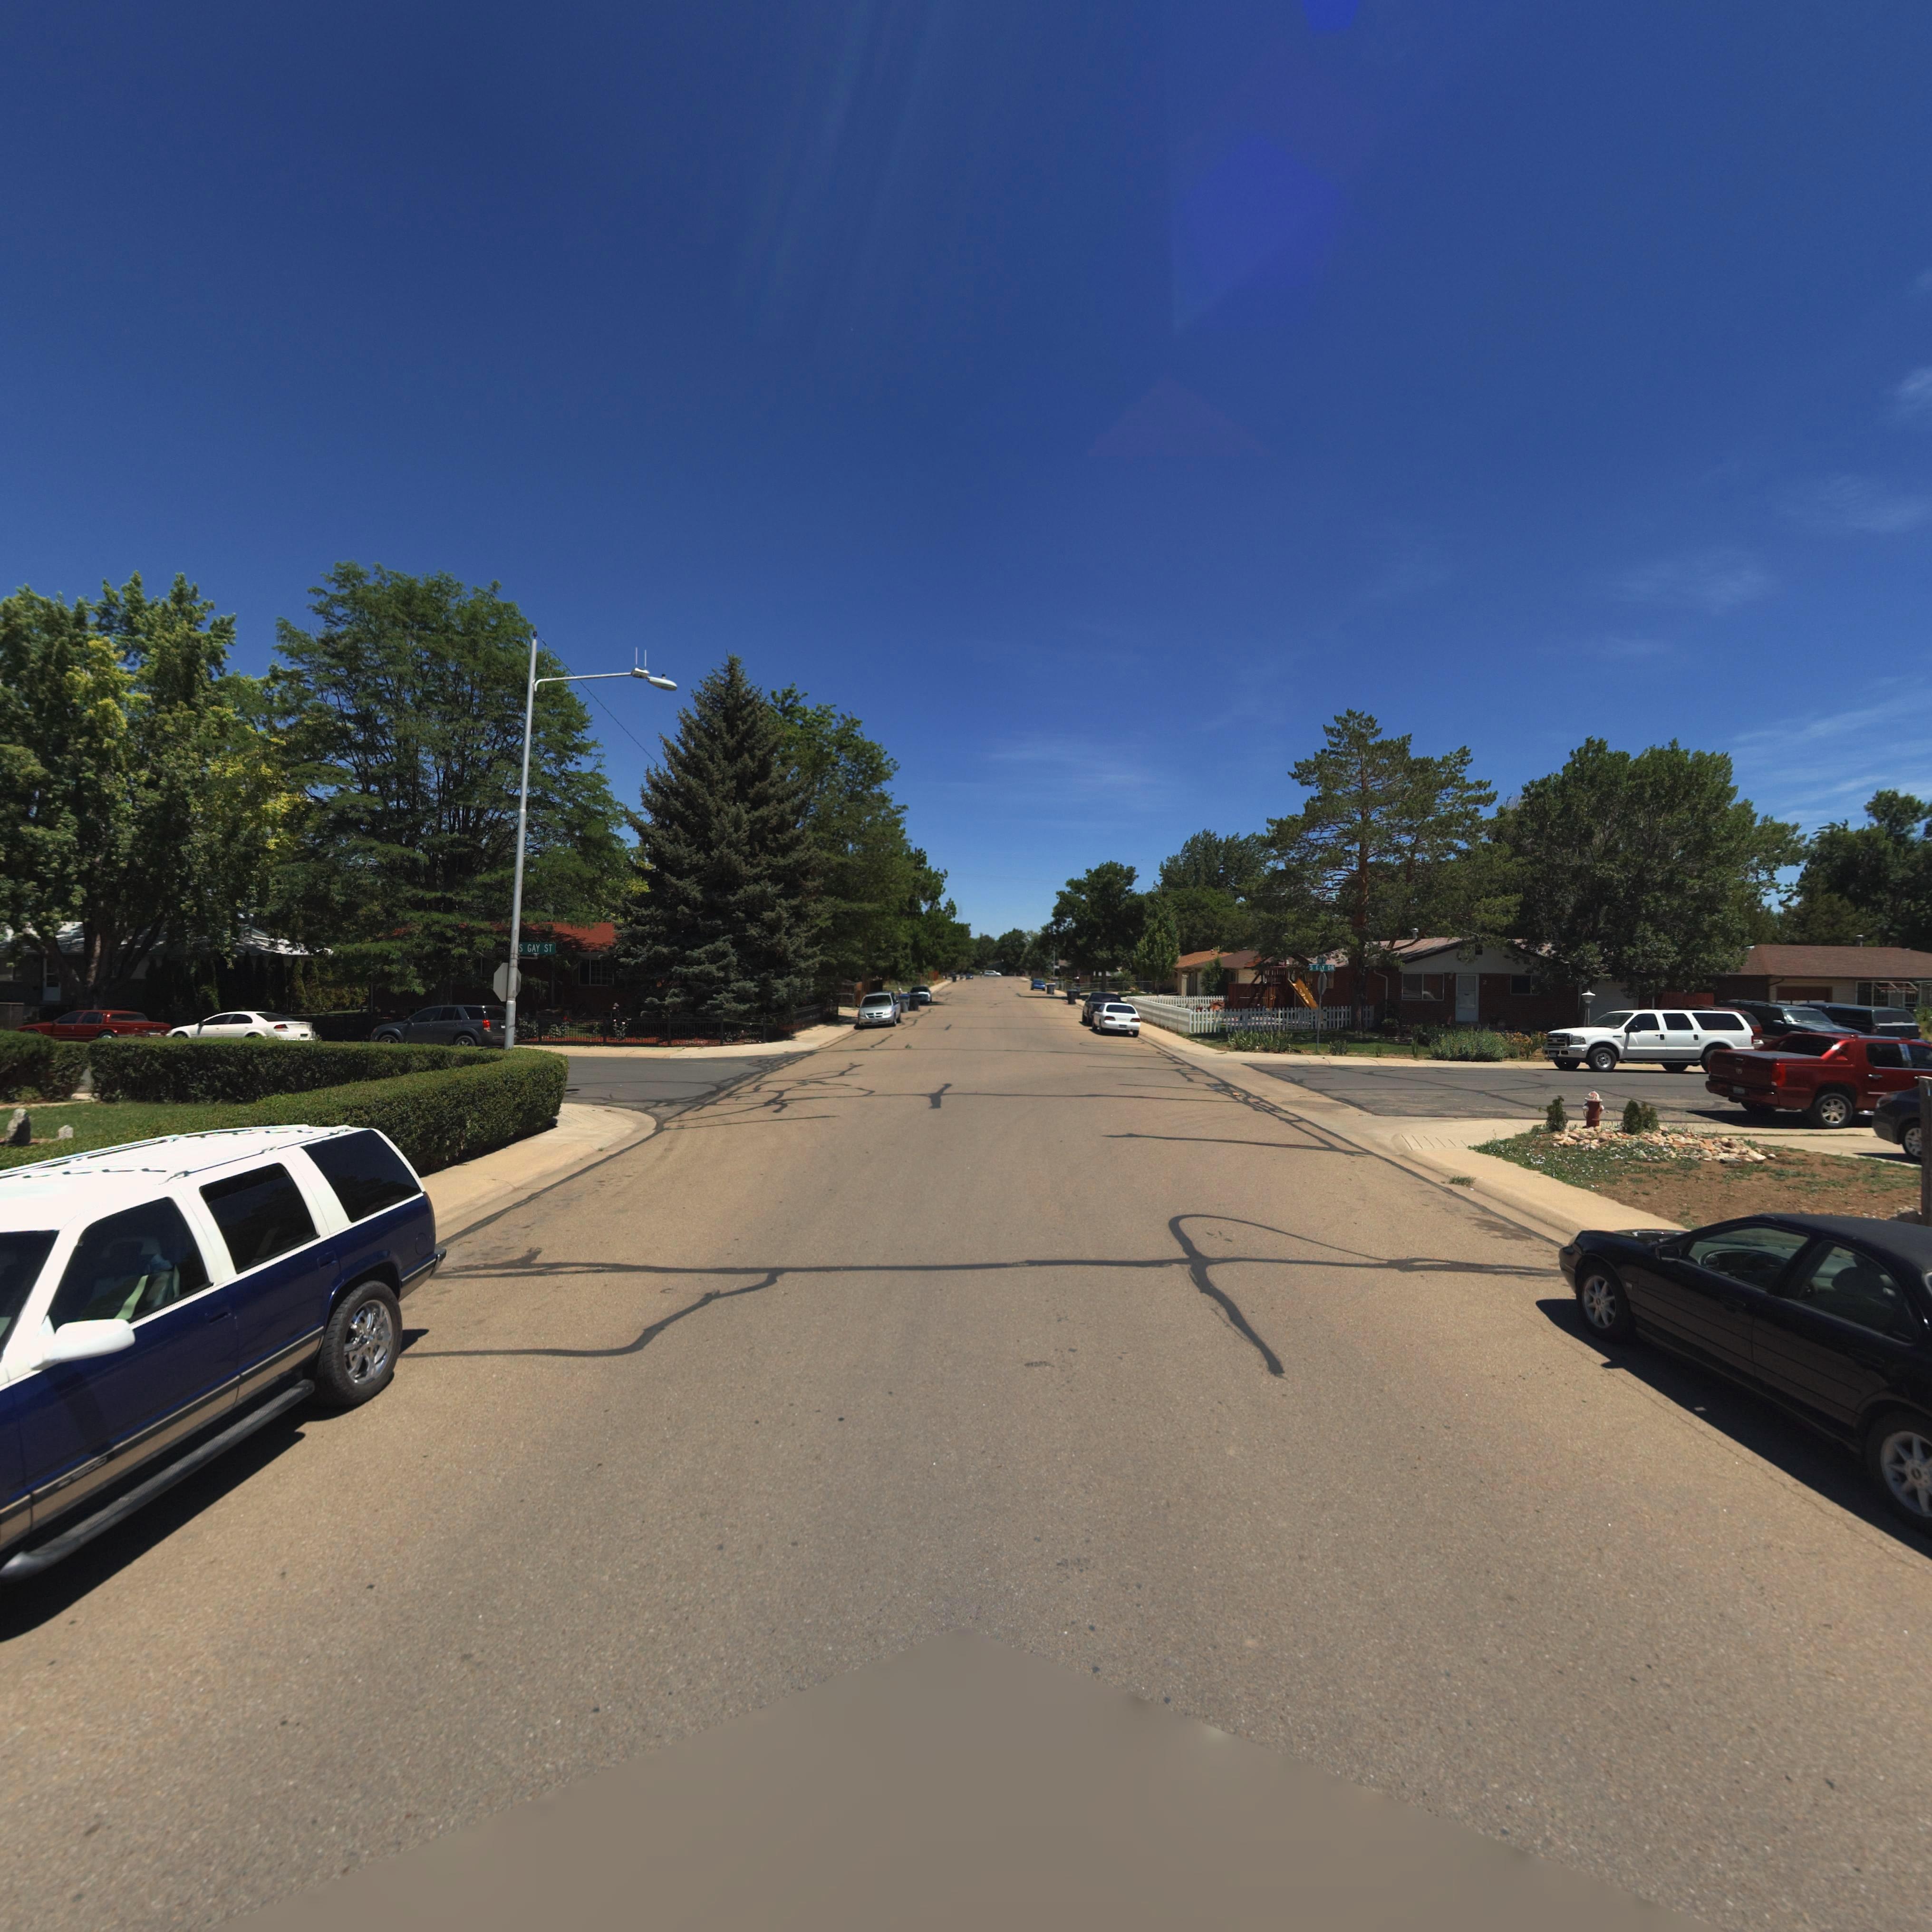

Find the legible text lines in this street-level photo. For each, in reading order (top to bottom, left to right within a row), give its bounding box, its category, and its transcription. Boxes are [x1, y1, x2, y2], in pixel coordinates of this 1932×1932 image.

[519, 944, 552, 952] StreetName: S GAY ST
[1309, 965, 1334, 970] StreetName: S GAY DR
[1483, 979, 1487, 984] StreetNumber: 2